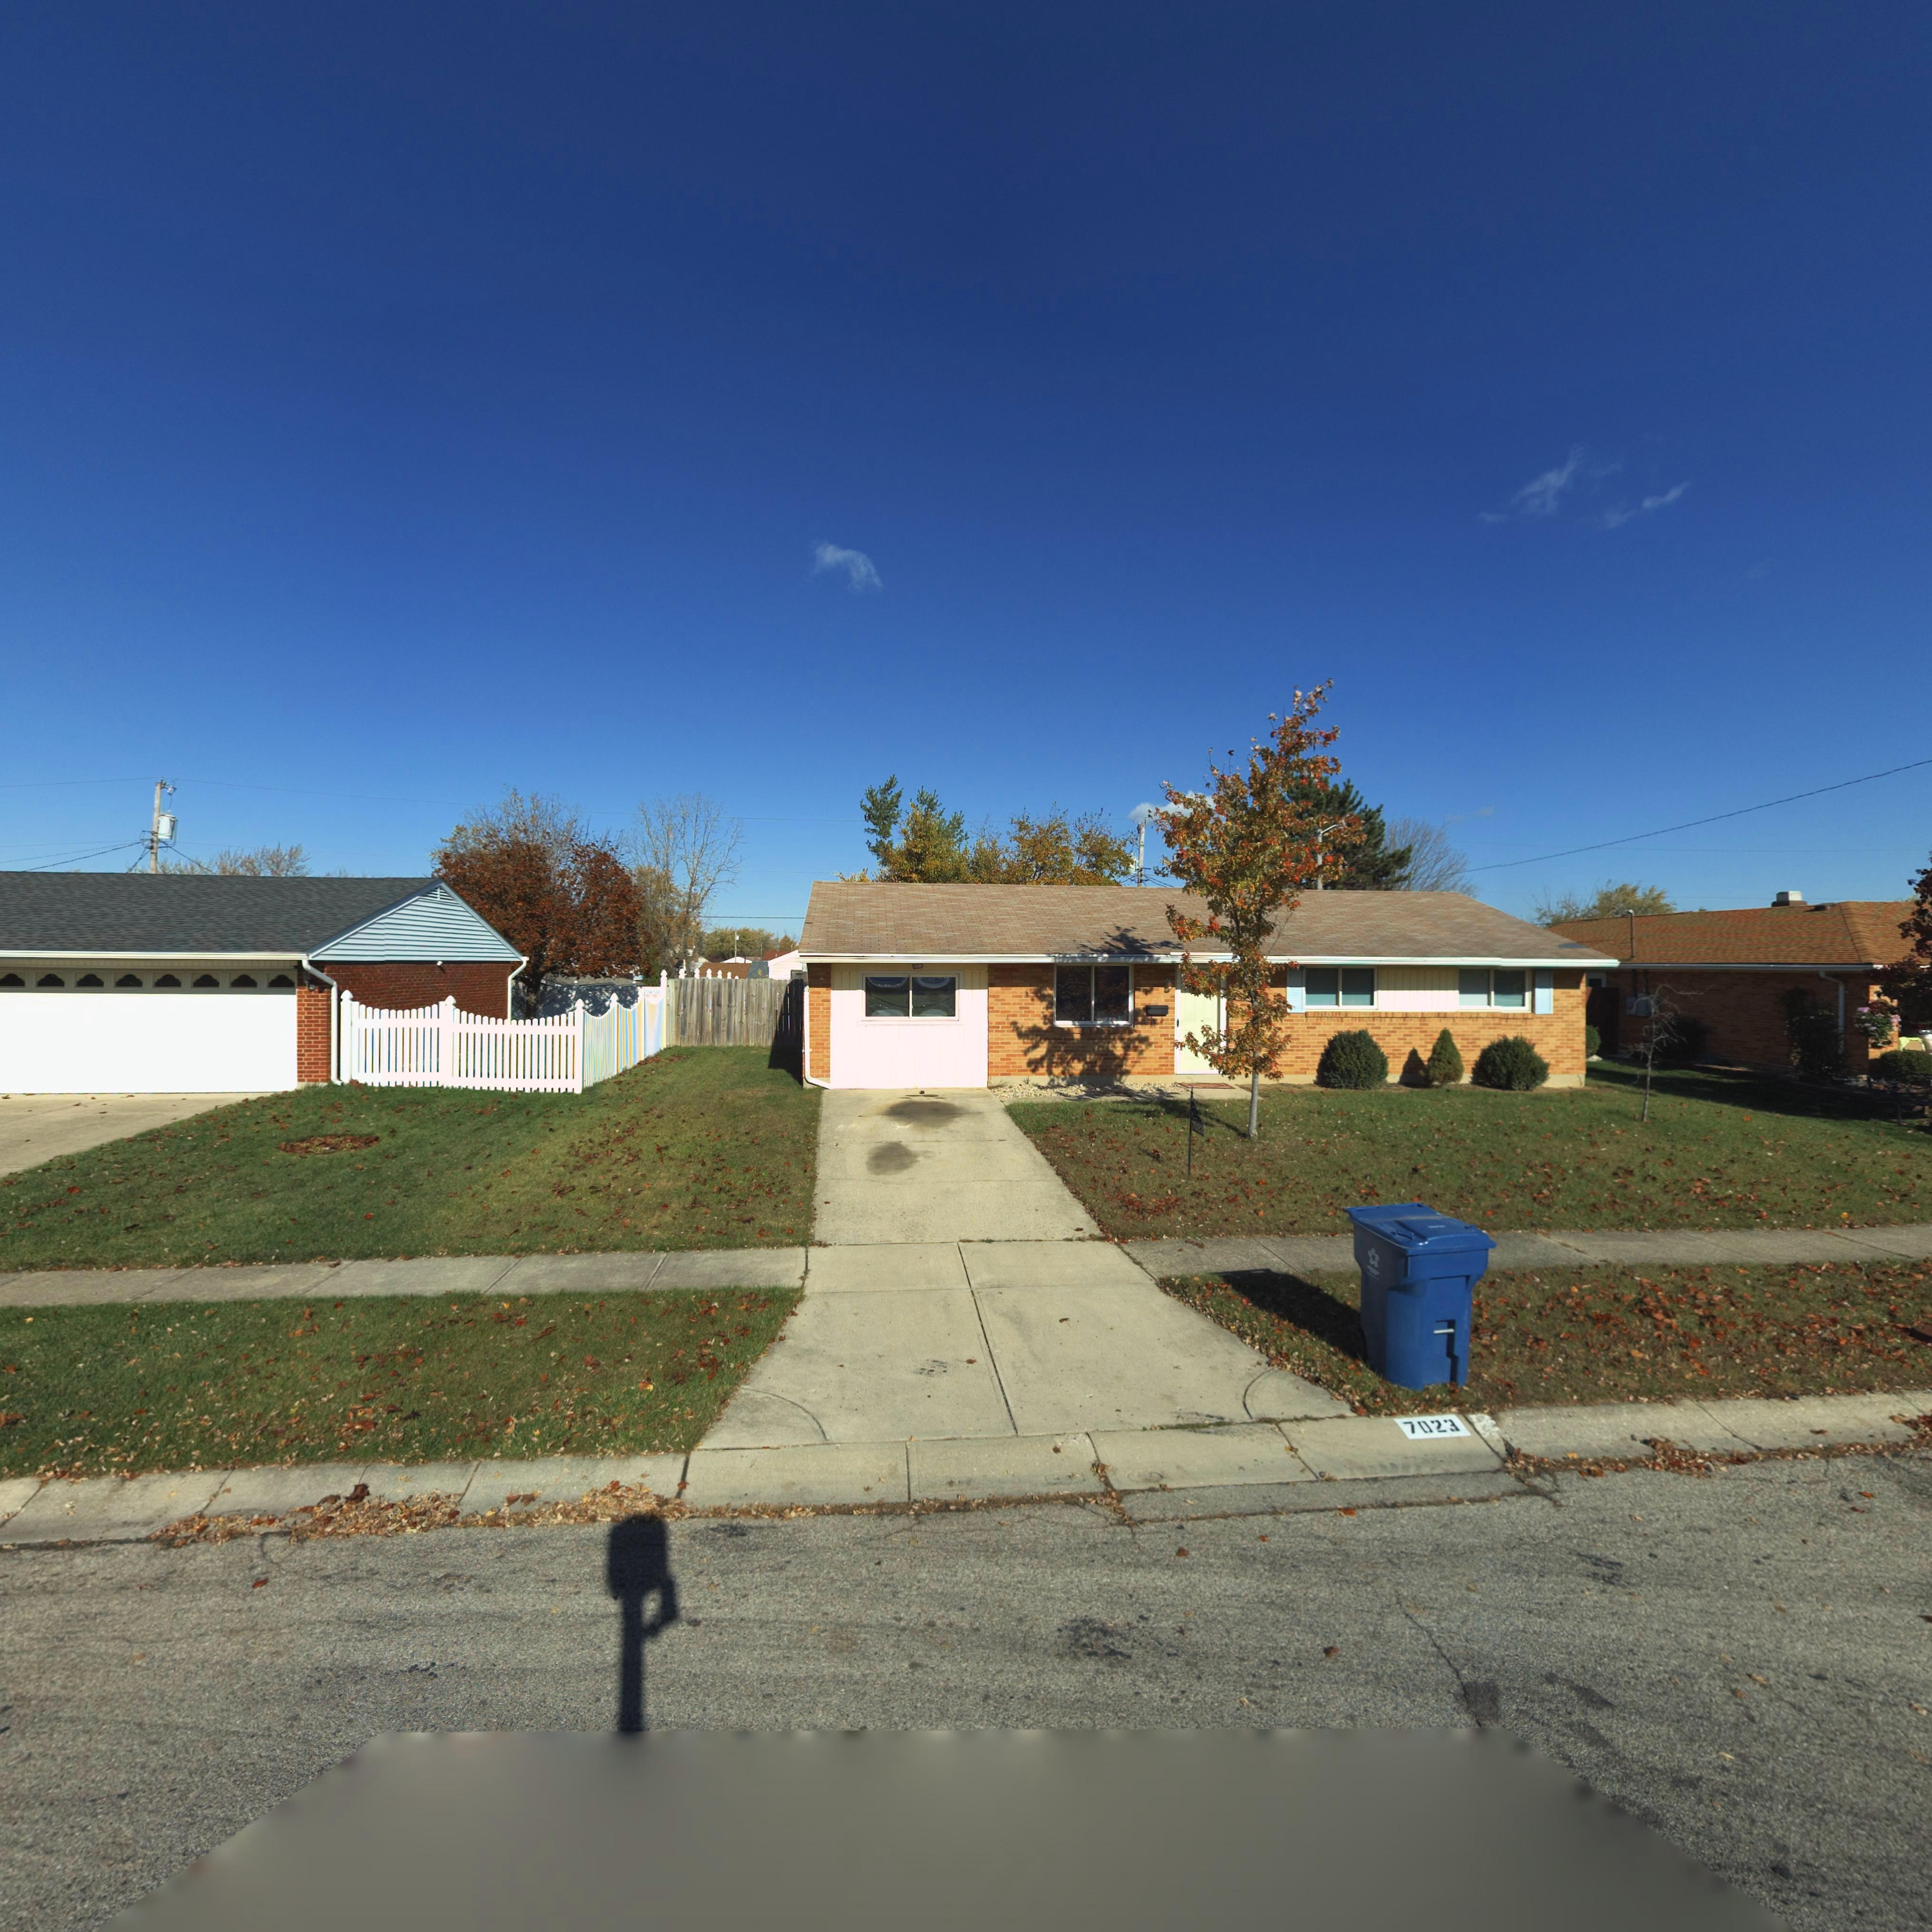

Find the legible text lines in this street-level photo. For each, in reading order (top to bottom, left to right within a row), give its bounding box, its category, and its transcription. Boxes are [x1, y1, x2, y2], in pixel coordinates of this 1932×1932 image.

[1191, 1119, 1204, 1135] StreetNumber: 7023
[1402, 1418, 1461, 1434] StreetNumber: 7023